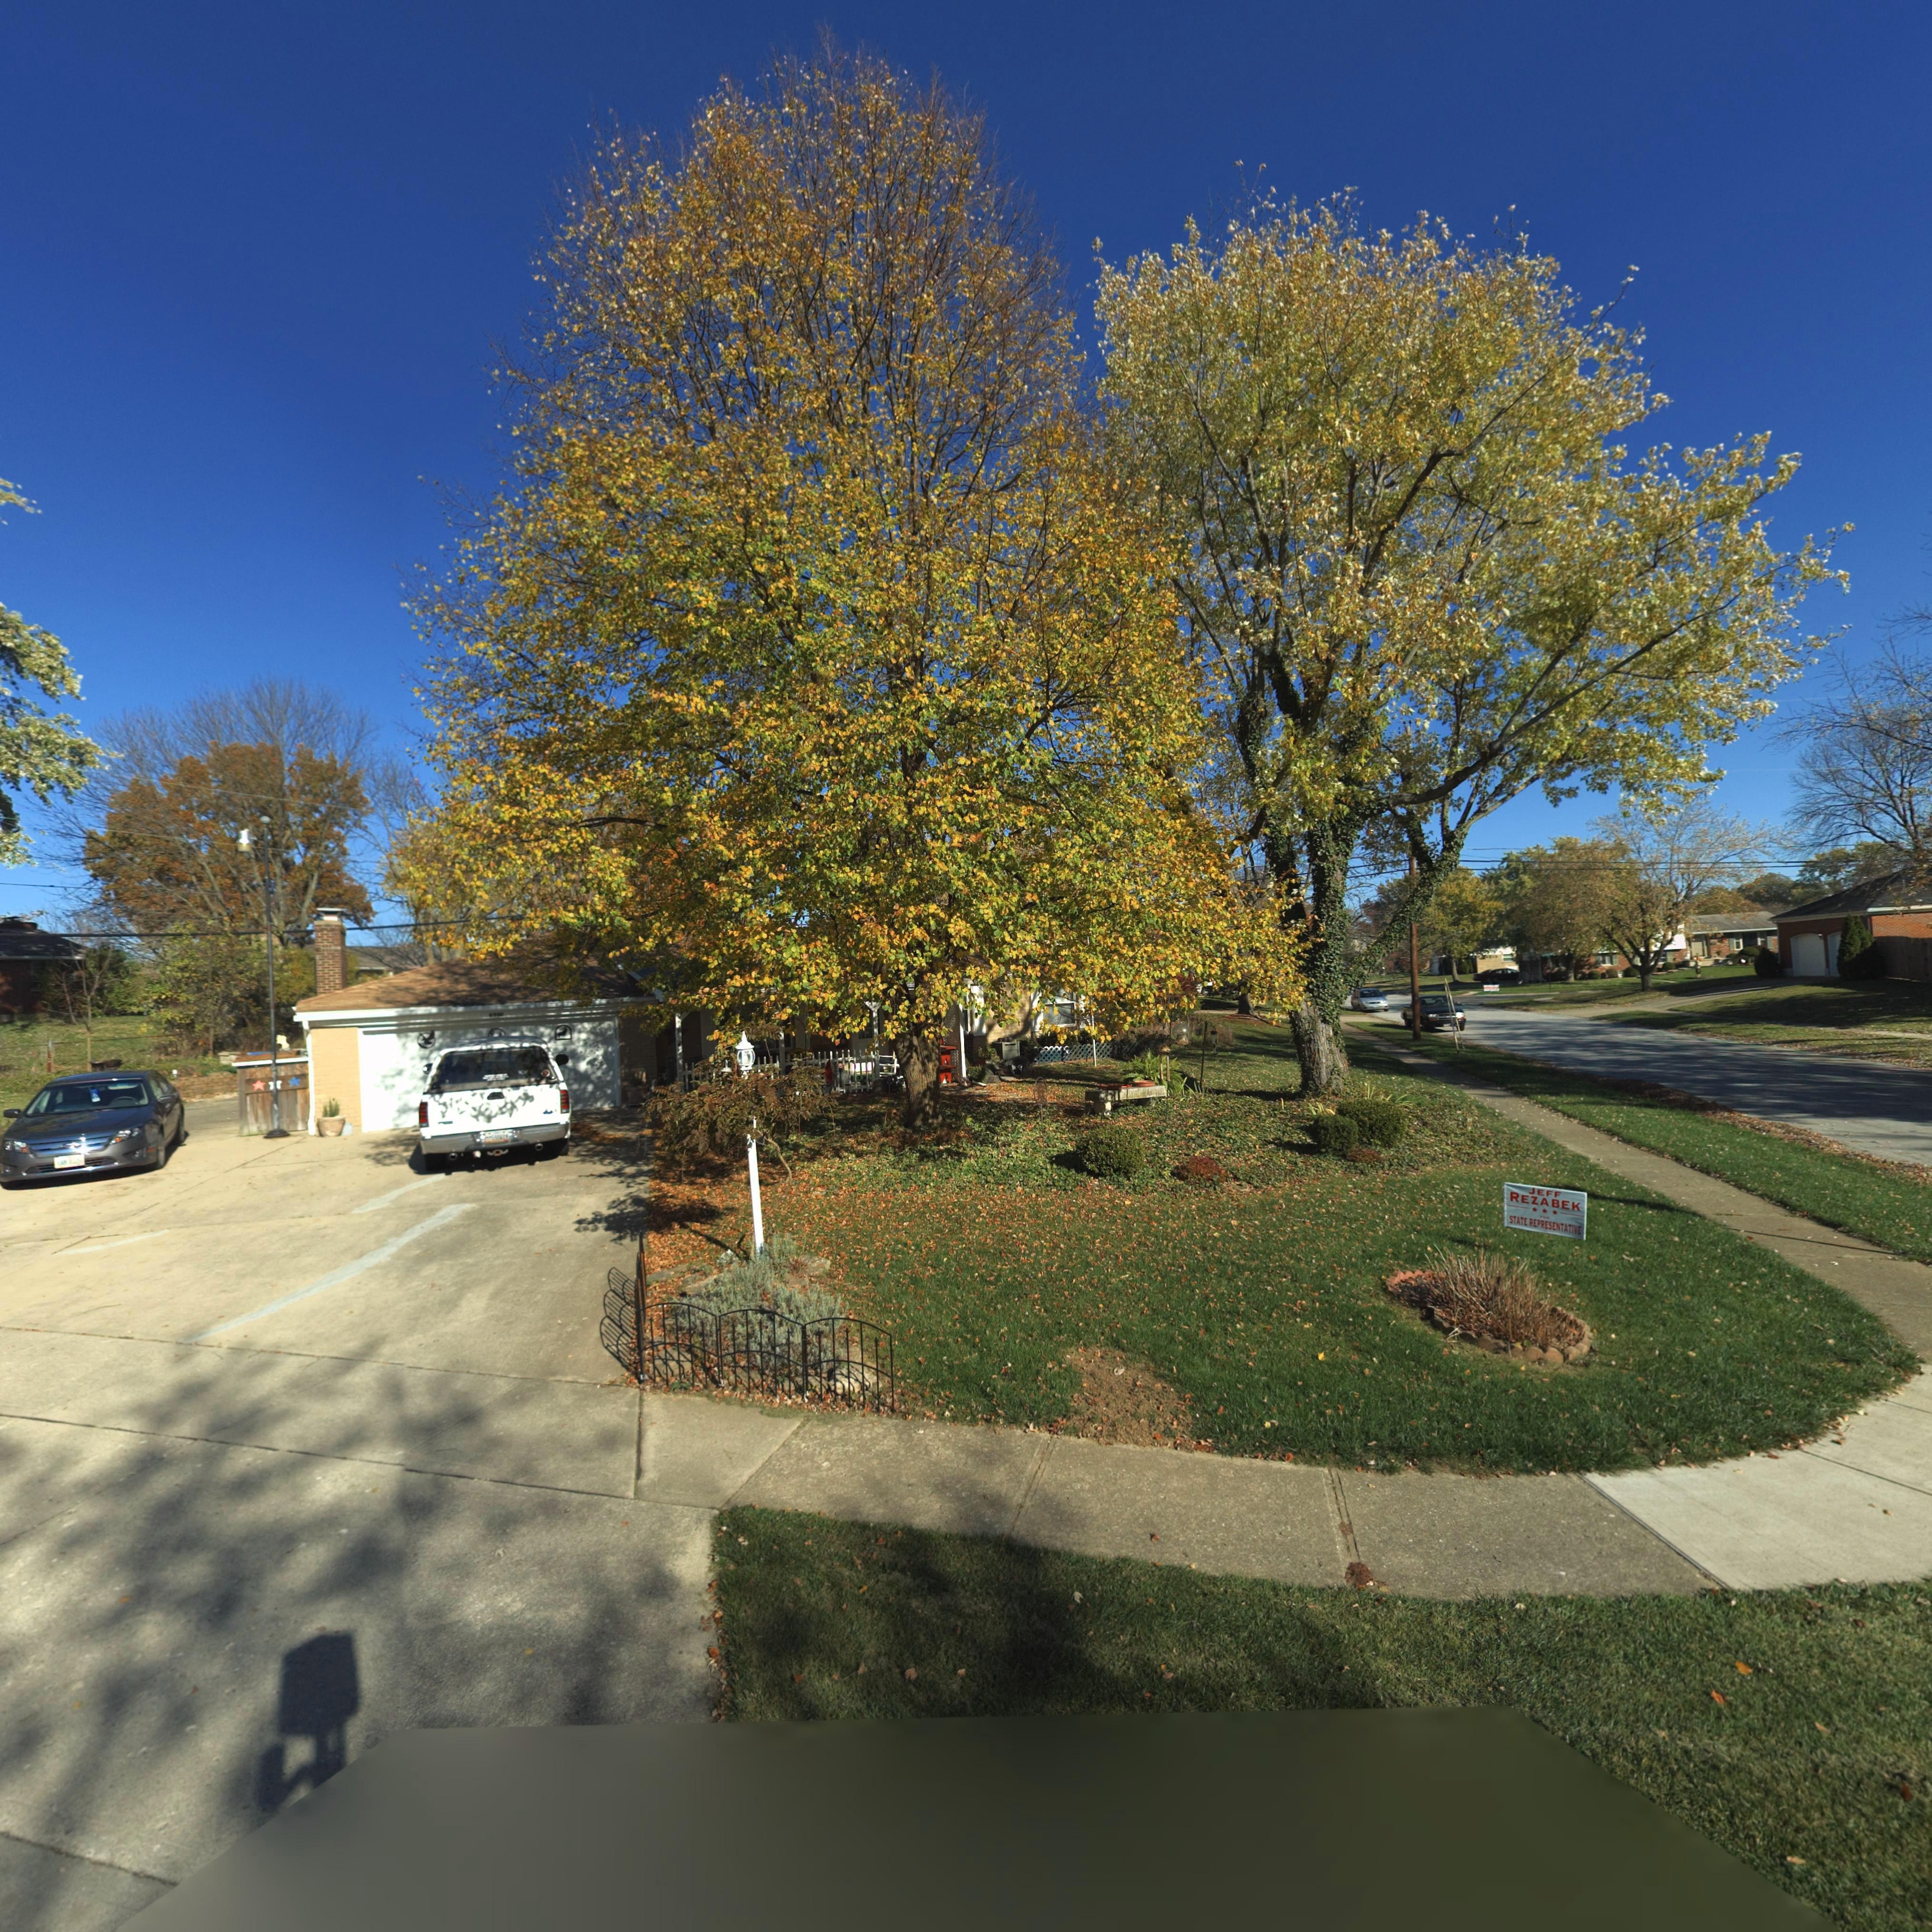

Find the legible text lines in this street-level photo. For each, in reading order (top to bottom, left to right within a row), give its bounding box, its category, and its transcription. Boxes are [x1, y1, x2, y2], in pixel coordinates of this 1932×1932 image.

[488, 1012, 503, 1017] StreetNumber: 69**
[1527, 1187, 1563, 1199] None: JEFF
[1509, 1191, 1581, 1212] None: REZABEK
[1508, 1214, 1583, 1236] None: STATE REPRESENTATIVE